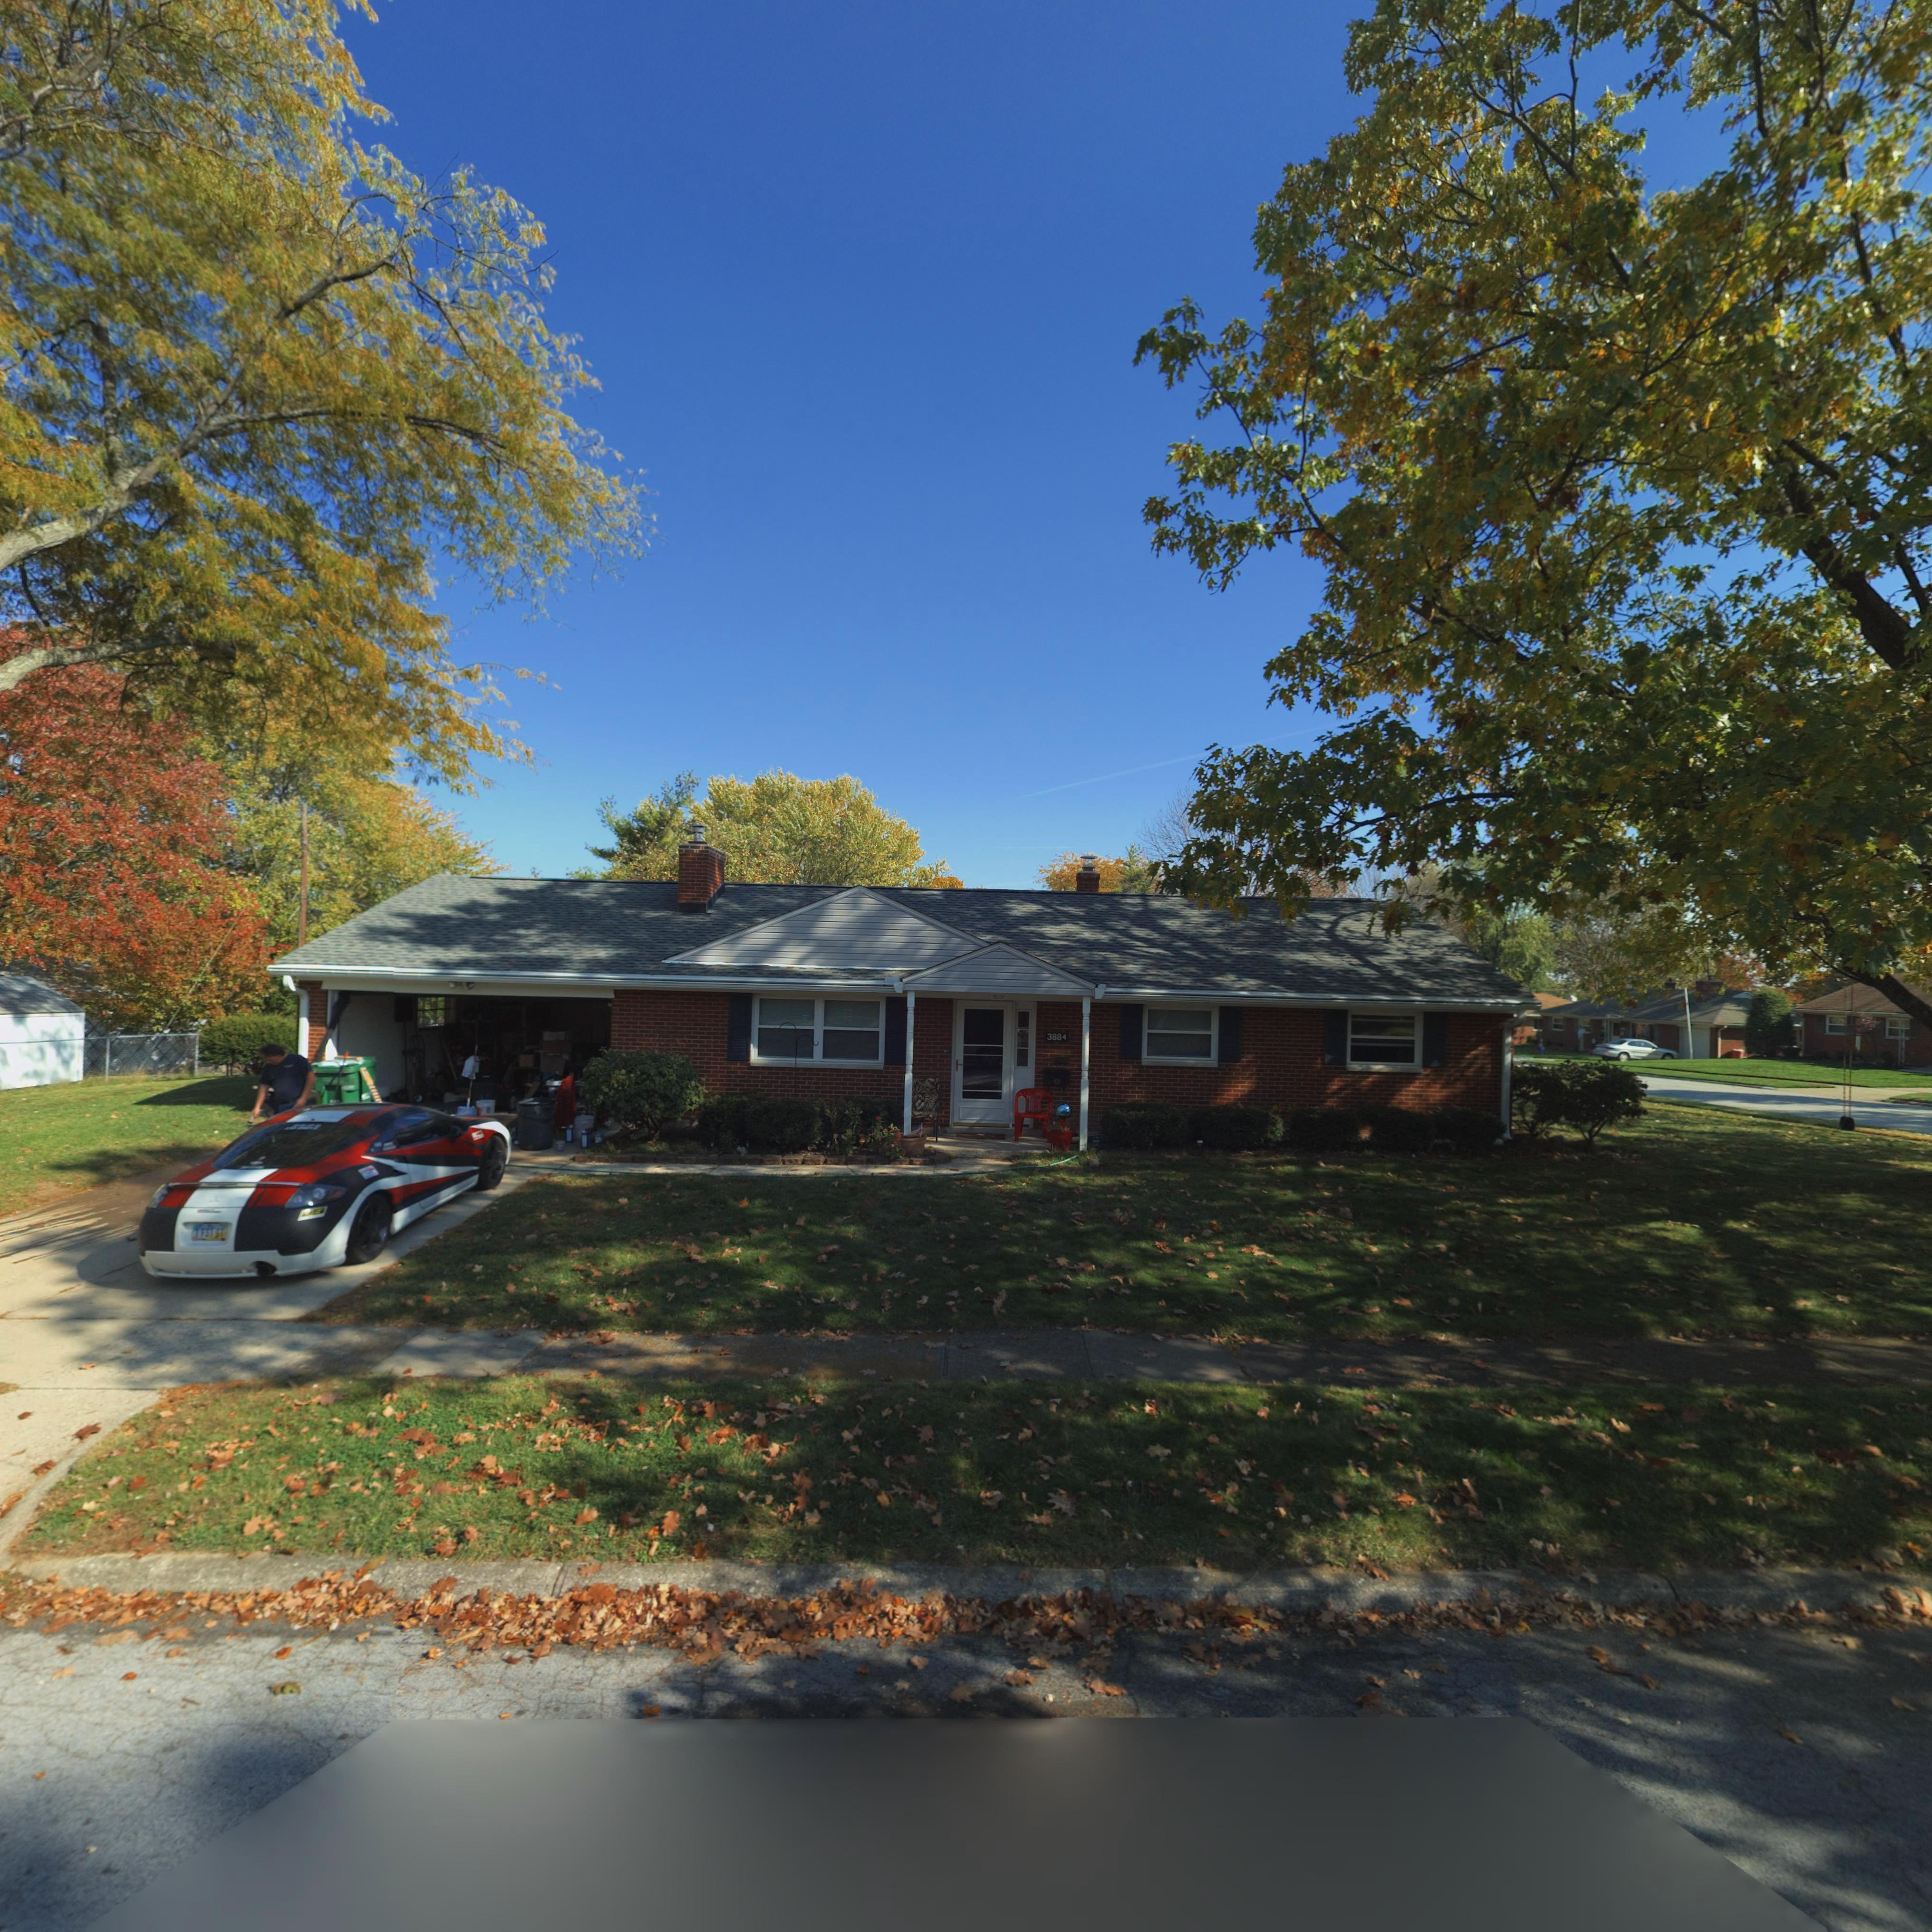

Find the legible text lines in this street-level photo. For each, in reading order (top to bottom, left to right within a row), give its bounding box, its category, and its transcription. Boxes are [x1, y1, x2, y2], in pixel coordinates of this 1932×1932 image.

[1046, 1033, 1067, 1041] StreetNumber: 3884
[312, 1207, 325, 1215] None: Ei
[193, 1227, 225, 1237] None: 1 FST GT